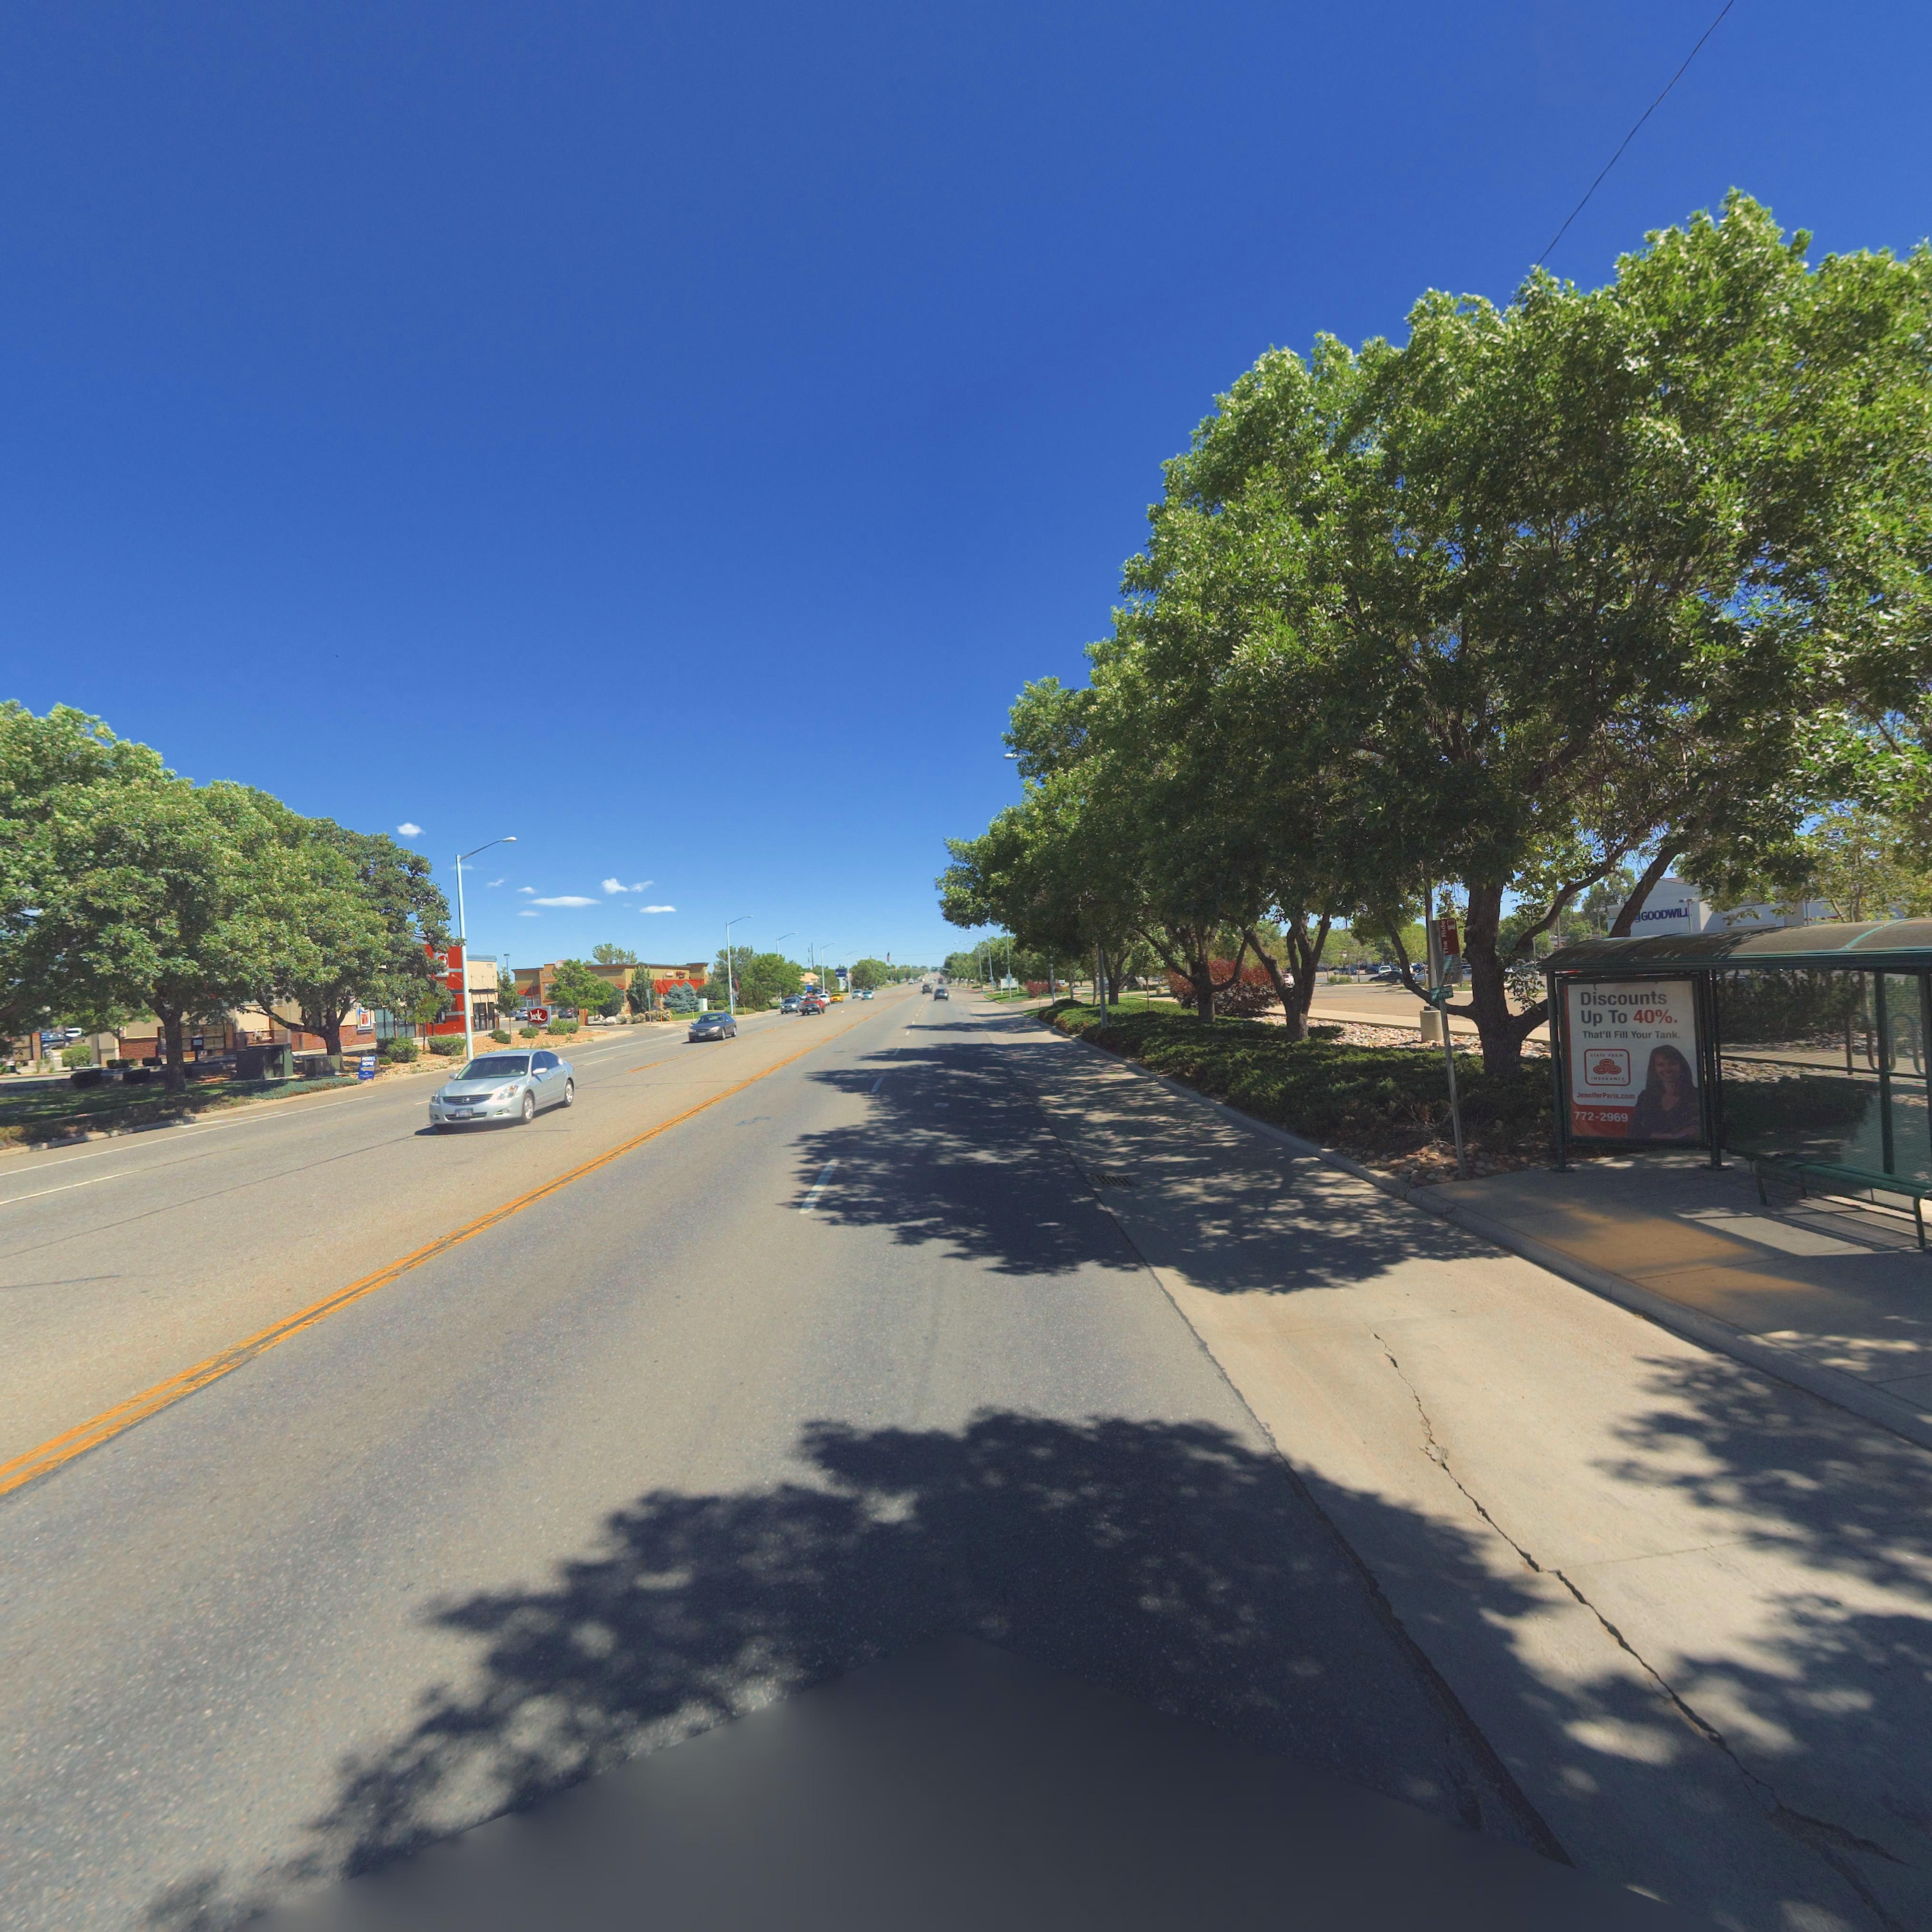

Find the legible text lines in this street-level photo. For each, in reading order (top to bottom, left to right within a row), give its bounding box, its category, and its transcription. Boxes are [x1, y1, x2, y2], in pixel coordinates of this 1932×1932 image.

[1641, 907, 1692, 921] BusinessName: GOODWILL
[528, 1009, 548, 1021] BusinessName: Jack